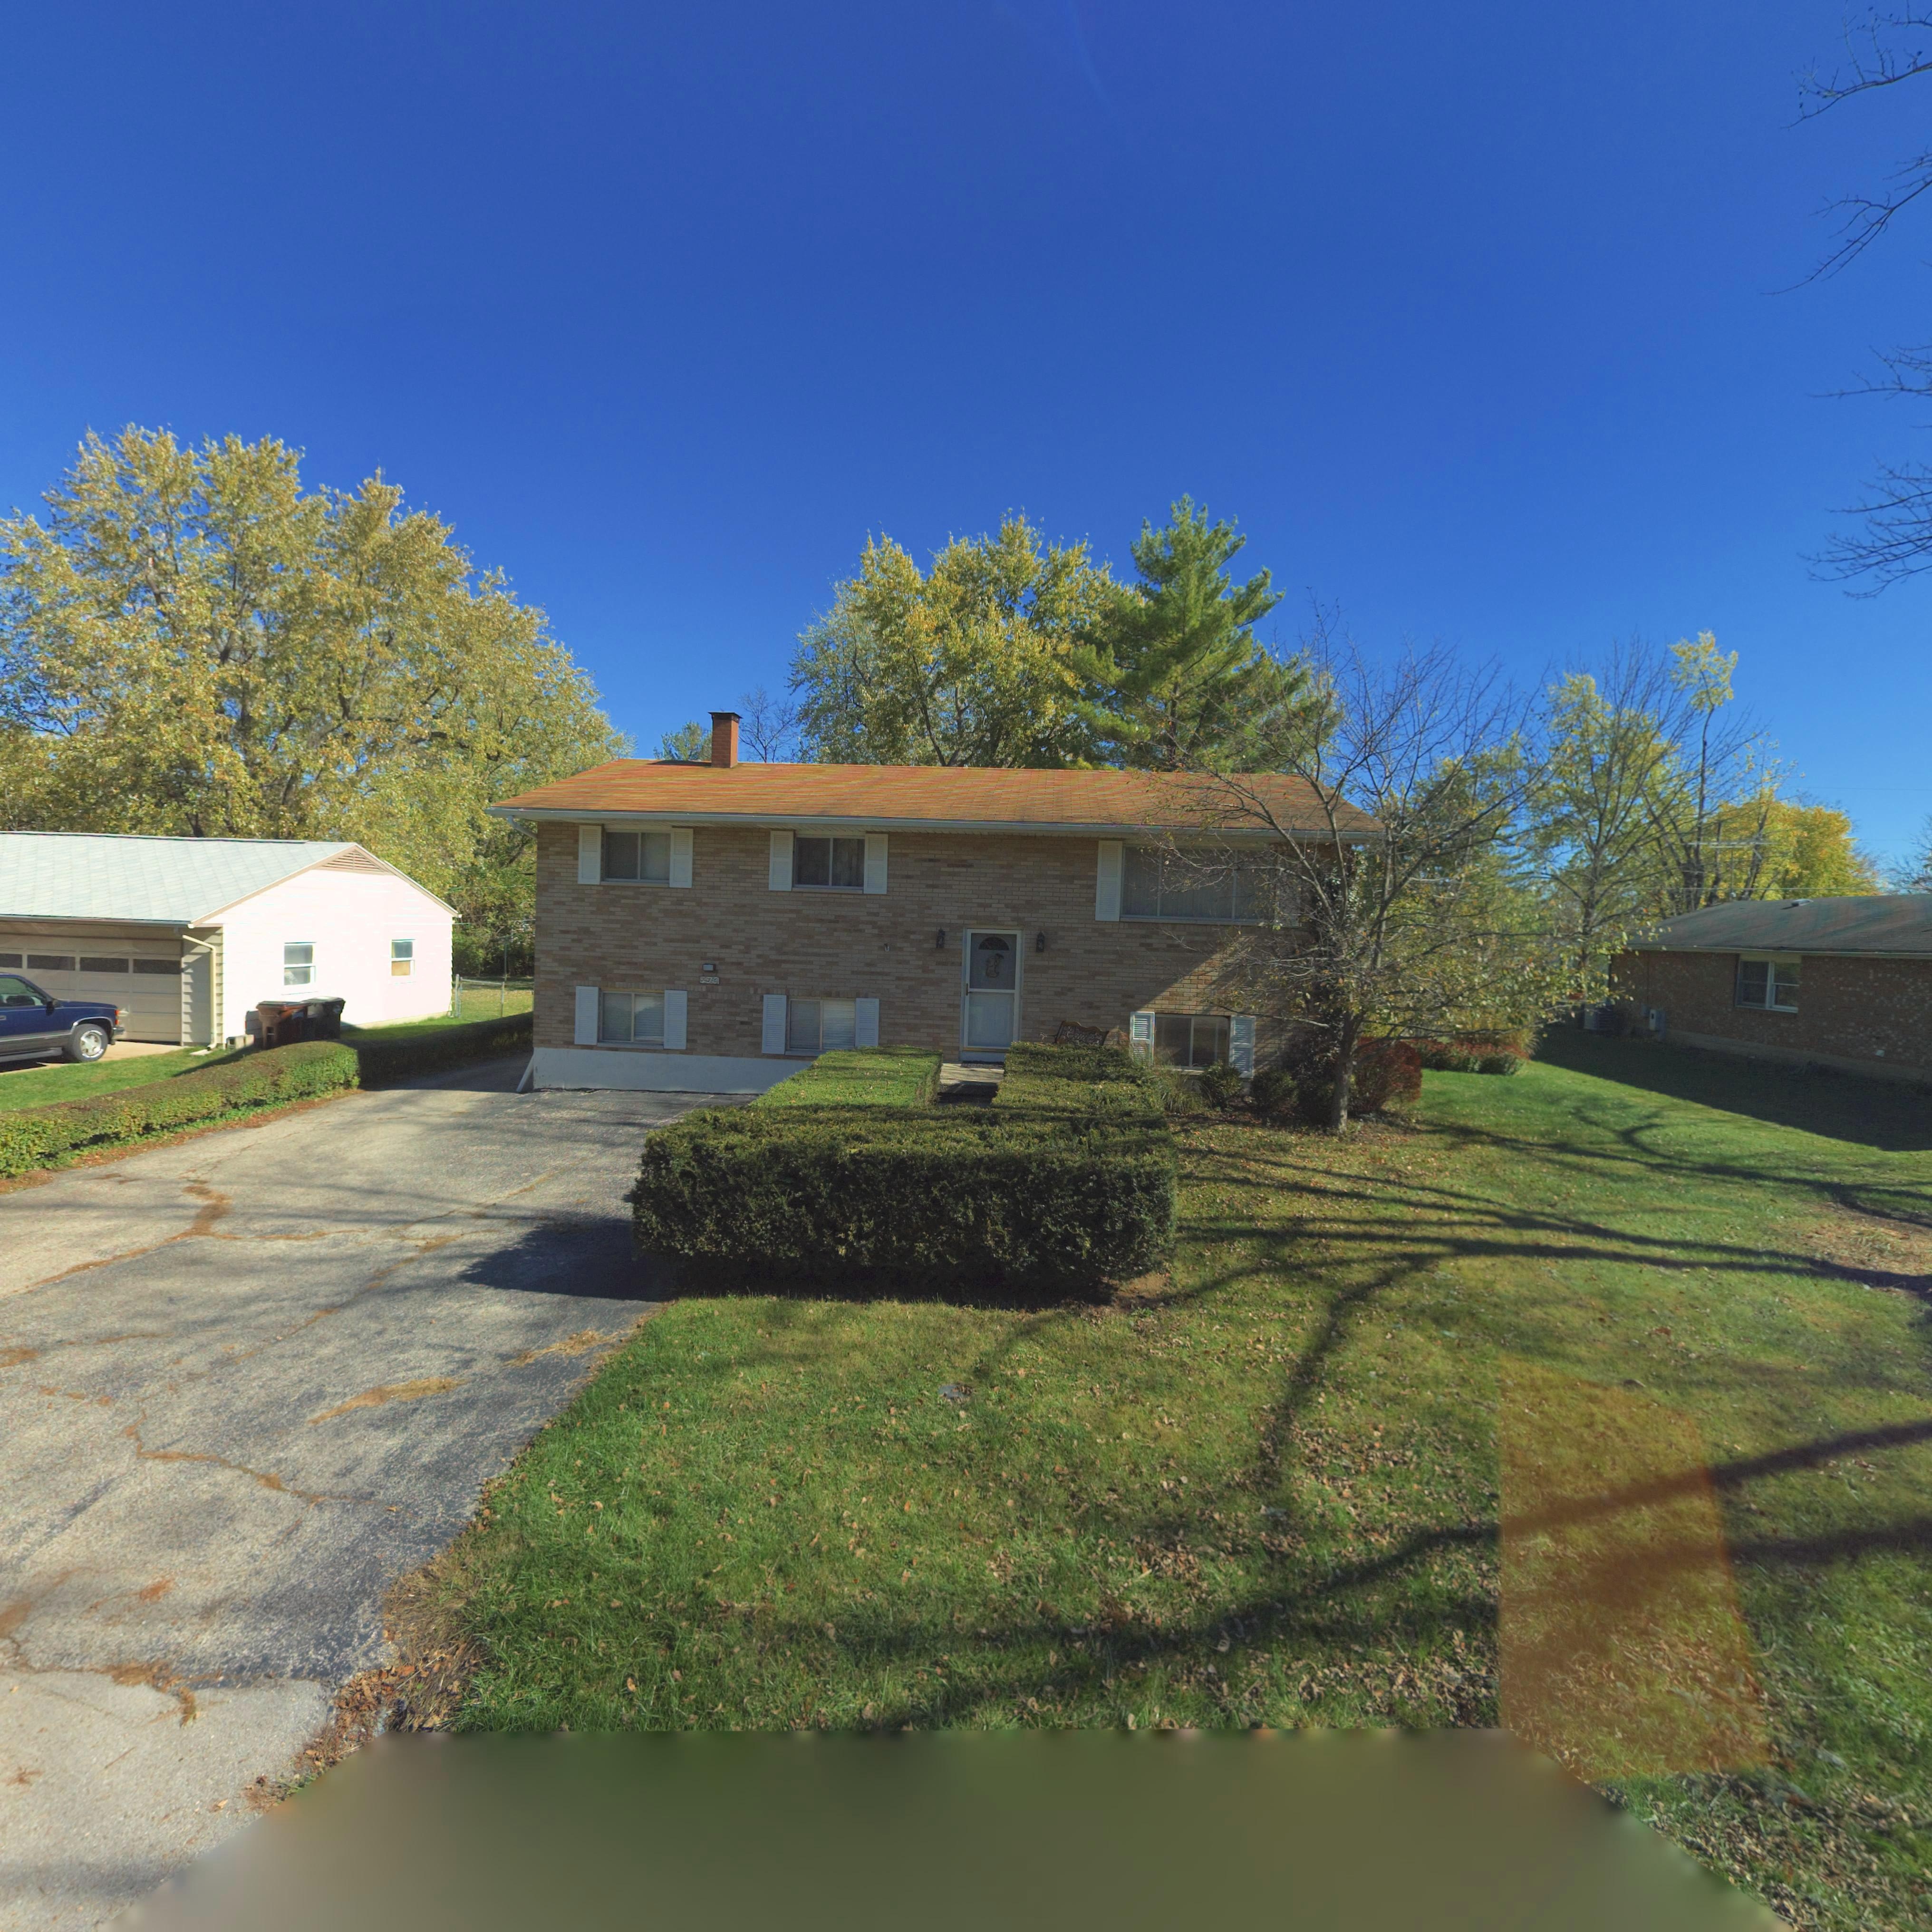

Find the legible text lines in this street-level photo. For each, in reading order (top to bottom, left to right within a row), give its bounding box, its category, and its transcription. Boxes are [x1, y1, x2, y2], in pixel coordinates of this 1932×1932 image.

[700, 977, 718, 983] StreetNumber: 720